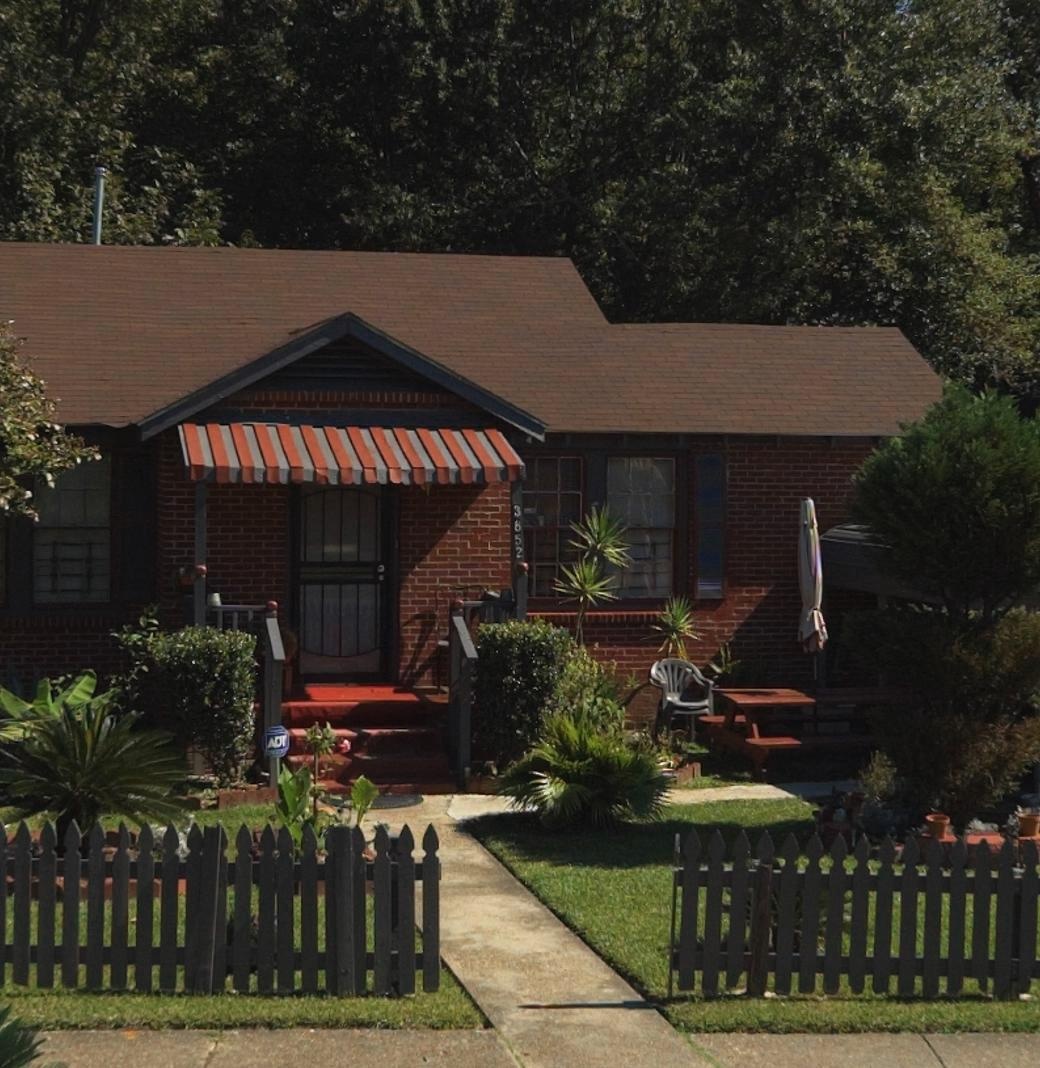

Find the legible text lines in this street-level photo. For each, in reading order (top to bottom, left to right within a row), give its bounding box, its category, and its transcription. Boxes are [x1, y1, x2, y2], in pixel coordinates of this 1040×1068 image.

[513, 503, 524, 560] StreetNumber: 3852
[264, 734, 289, 750] None: ADT